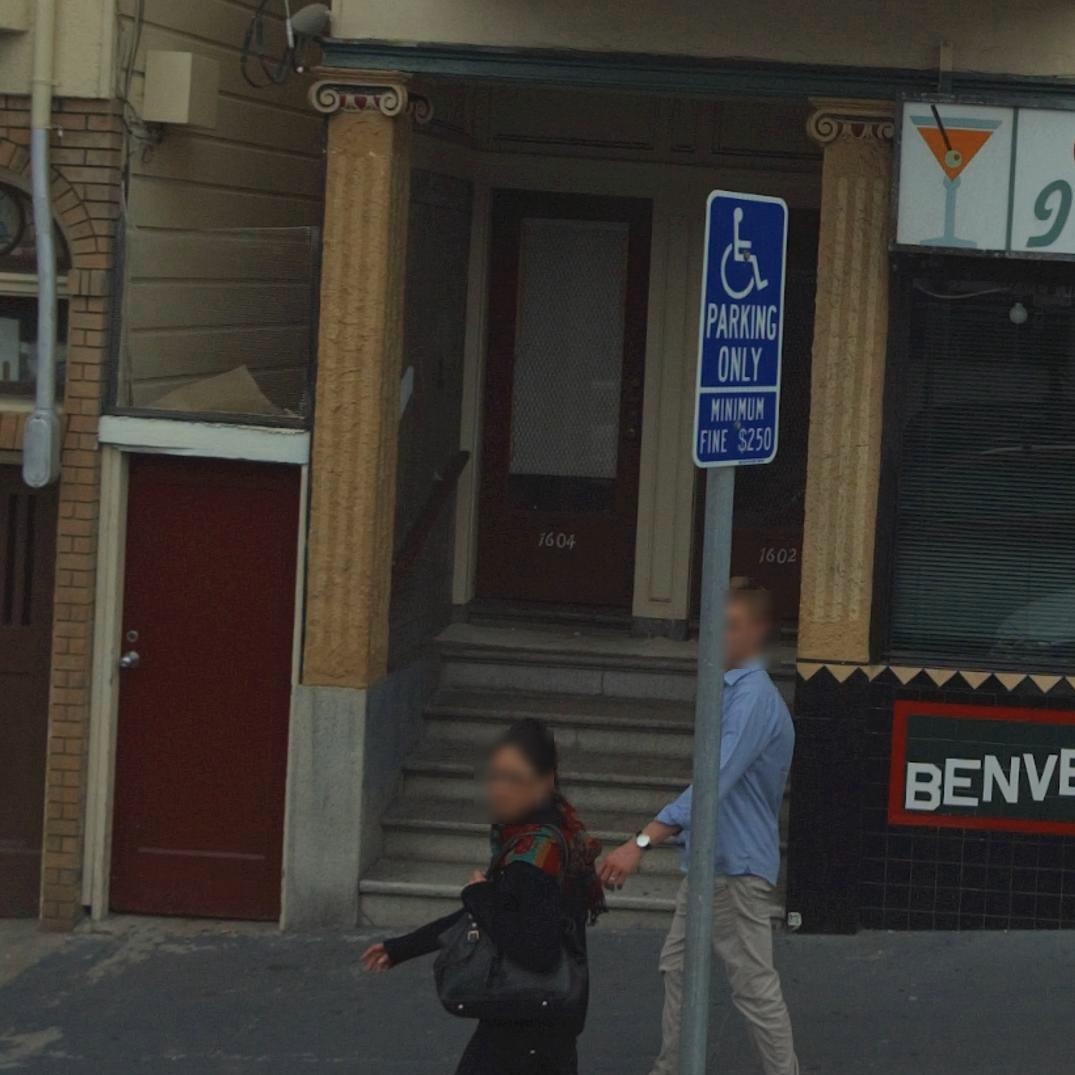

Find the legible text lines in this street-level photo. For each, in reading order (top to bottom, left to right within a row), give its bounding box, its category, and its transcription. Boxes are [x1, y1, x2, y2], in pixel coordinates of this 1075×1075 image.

[1020, 174, 1075, 258] BusinessName: 9
[703, 298, 782, 344] None: PARKING
[715, 340, 768, 387] None: ONLY
[705, 393, 767, 425] None: MINIMUM
[695, 425, 776, 458] None: FINE $250
[535, 528, 579, 553] StreetNumber: 1604
[756, 545, 800, 567] StreetNumber: 1602
[901, 744, 1066, 815] None: BENV